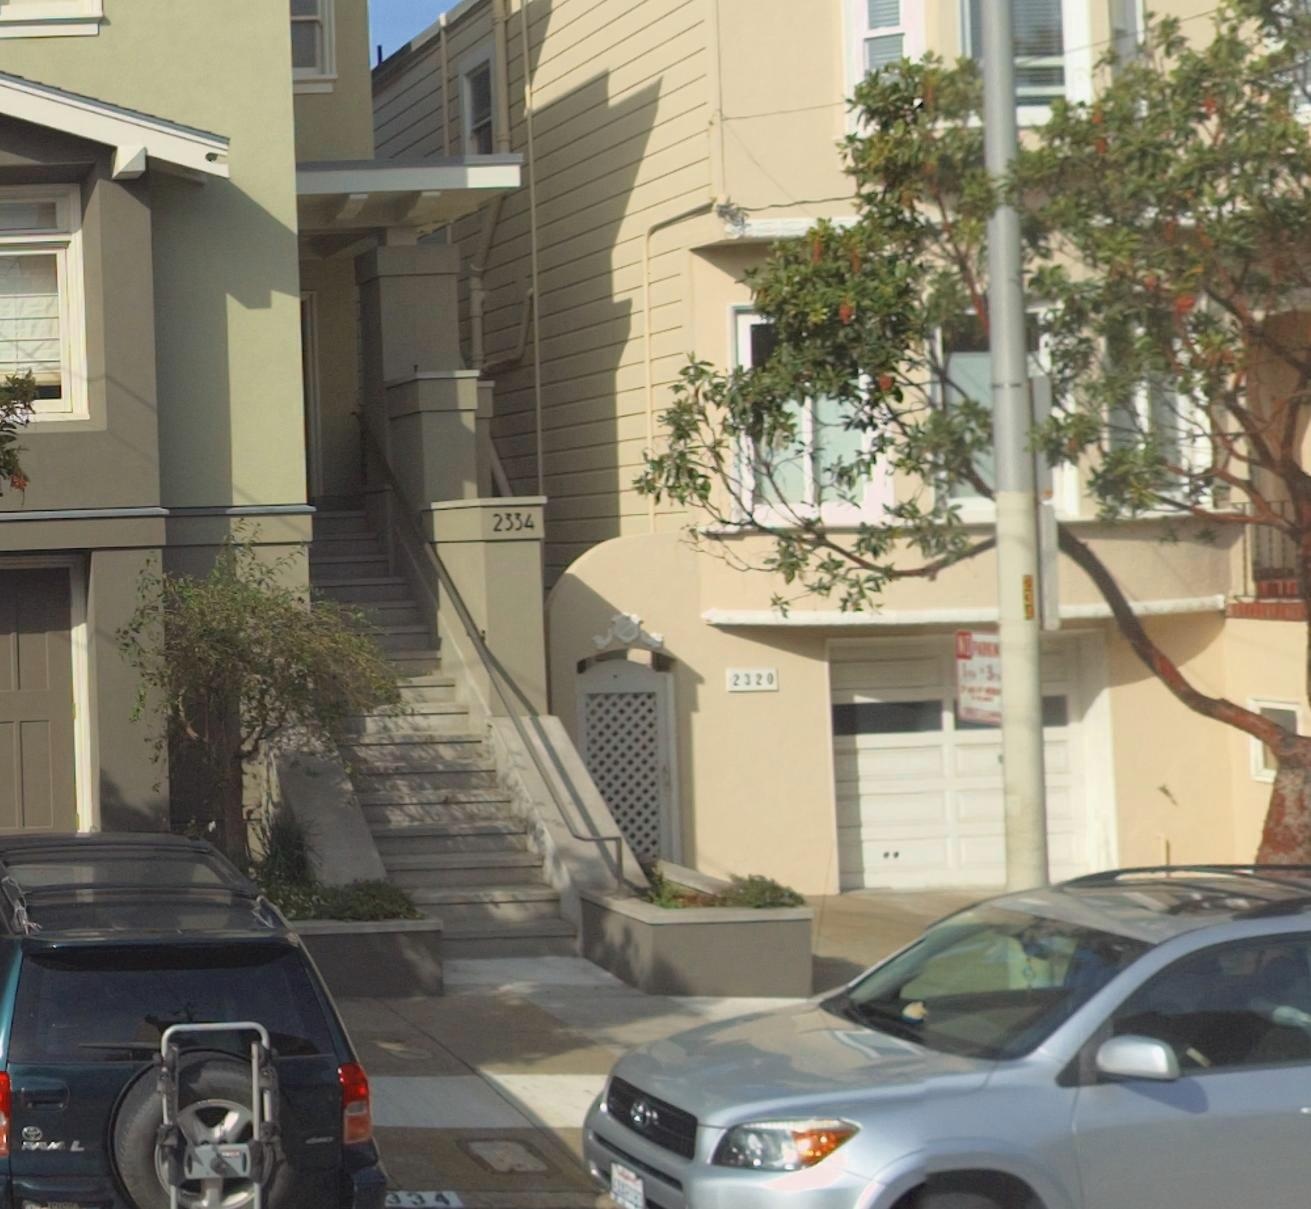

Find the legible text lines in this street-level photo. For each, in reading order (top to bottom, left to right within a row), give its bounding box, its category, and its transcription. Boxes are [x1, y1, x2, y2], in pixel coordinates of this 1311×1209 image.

[490, 510, 537, 534] StreetNumber: 2334
[1021, 572, 1035, 621] None: 23*
[730, 670, 777, 688] StreetNumber: 2320
[68, 1138, 87, 1153] None: L
[383, 1190, 453, 1207] None: 334